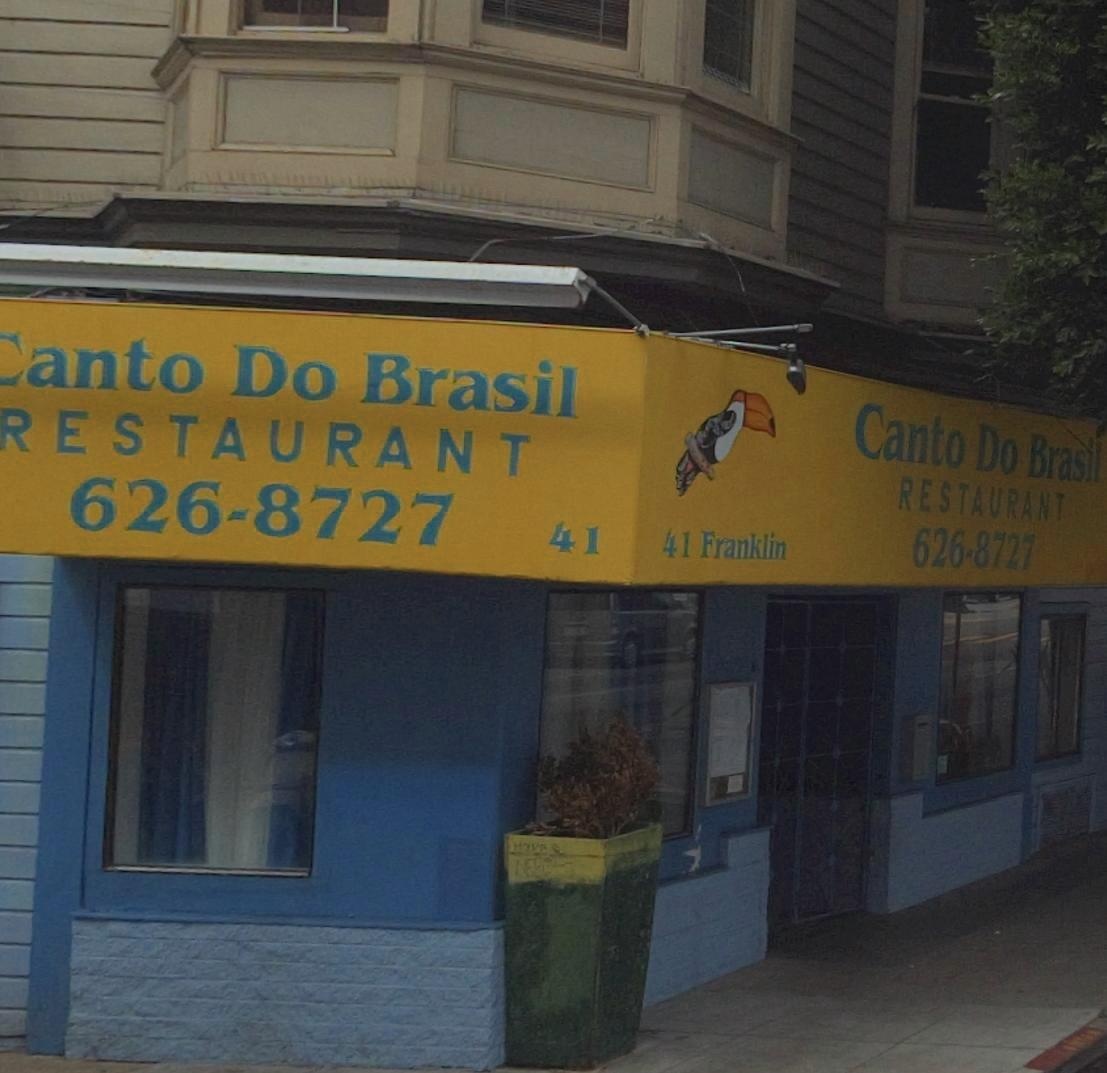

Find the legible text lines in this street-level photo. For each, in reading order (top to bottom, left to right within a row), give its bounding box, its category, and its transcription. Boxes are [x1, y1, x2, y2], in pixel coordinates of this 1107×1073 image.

[23, 336, 581, 421] BusinessName: anto Do Brasil
[54, 405, 535, 479] BusinessName: ESTAURANT
[854, 400, 1103, 487] BusinessName: Canto Do Brasil
[66, 471, 458, 550] None: 626-8727
[897, 475, 1068, 522] BusinessName: RESTAURANT
[545, 521, 602, 557] StreetNumber: 41
[660, 526, 692, 560] StreetNumber: 41
[699, 528, 789, 562] StreetName: Franklin
[910, 526, 1037, 572] None: 626-8727